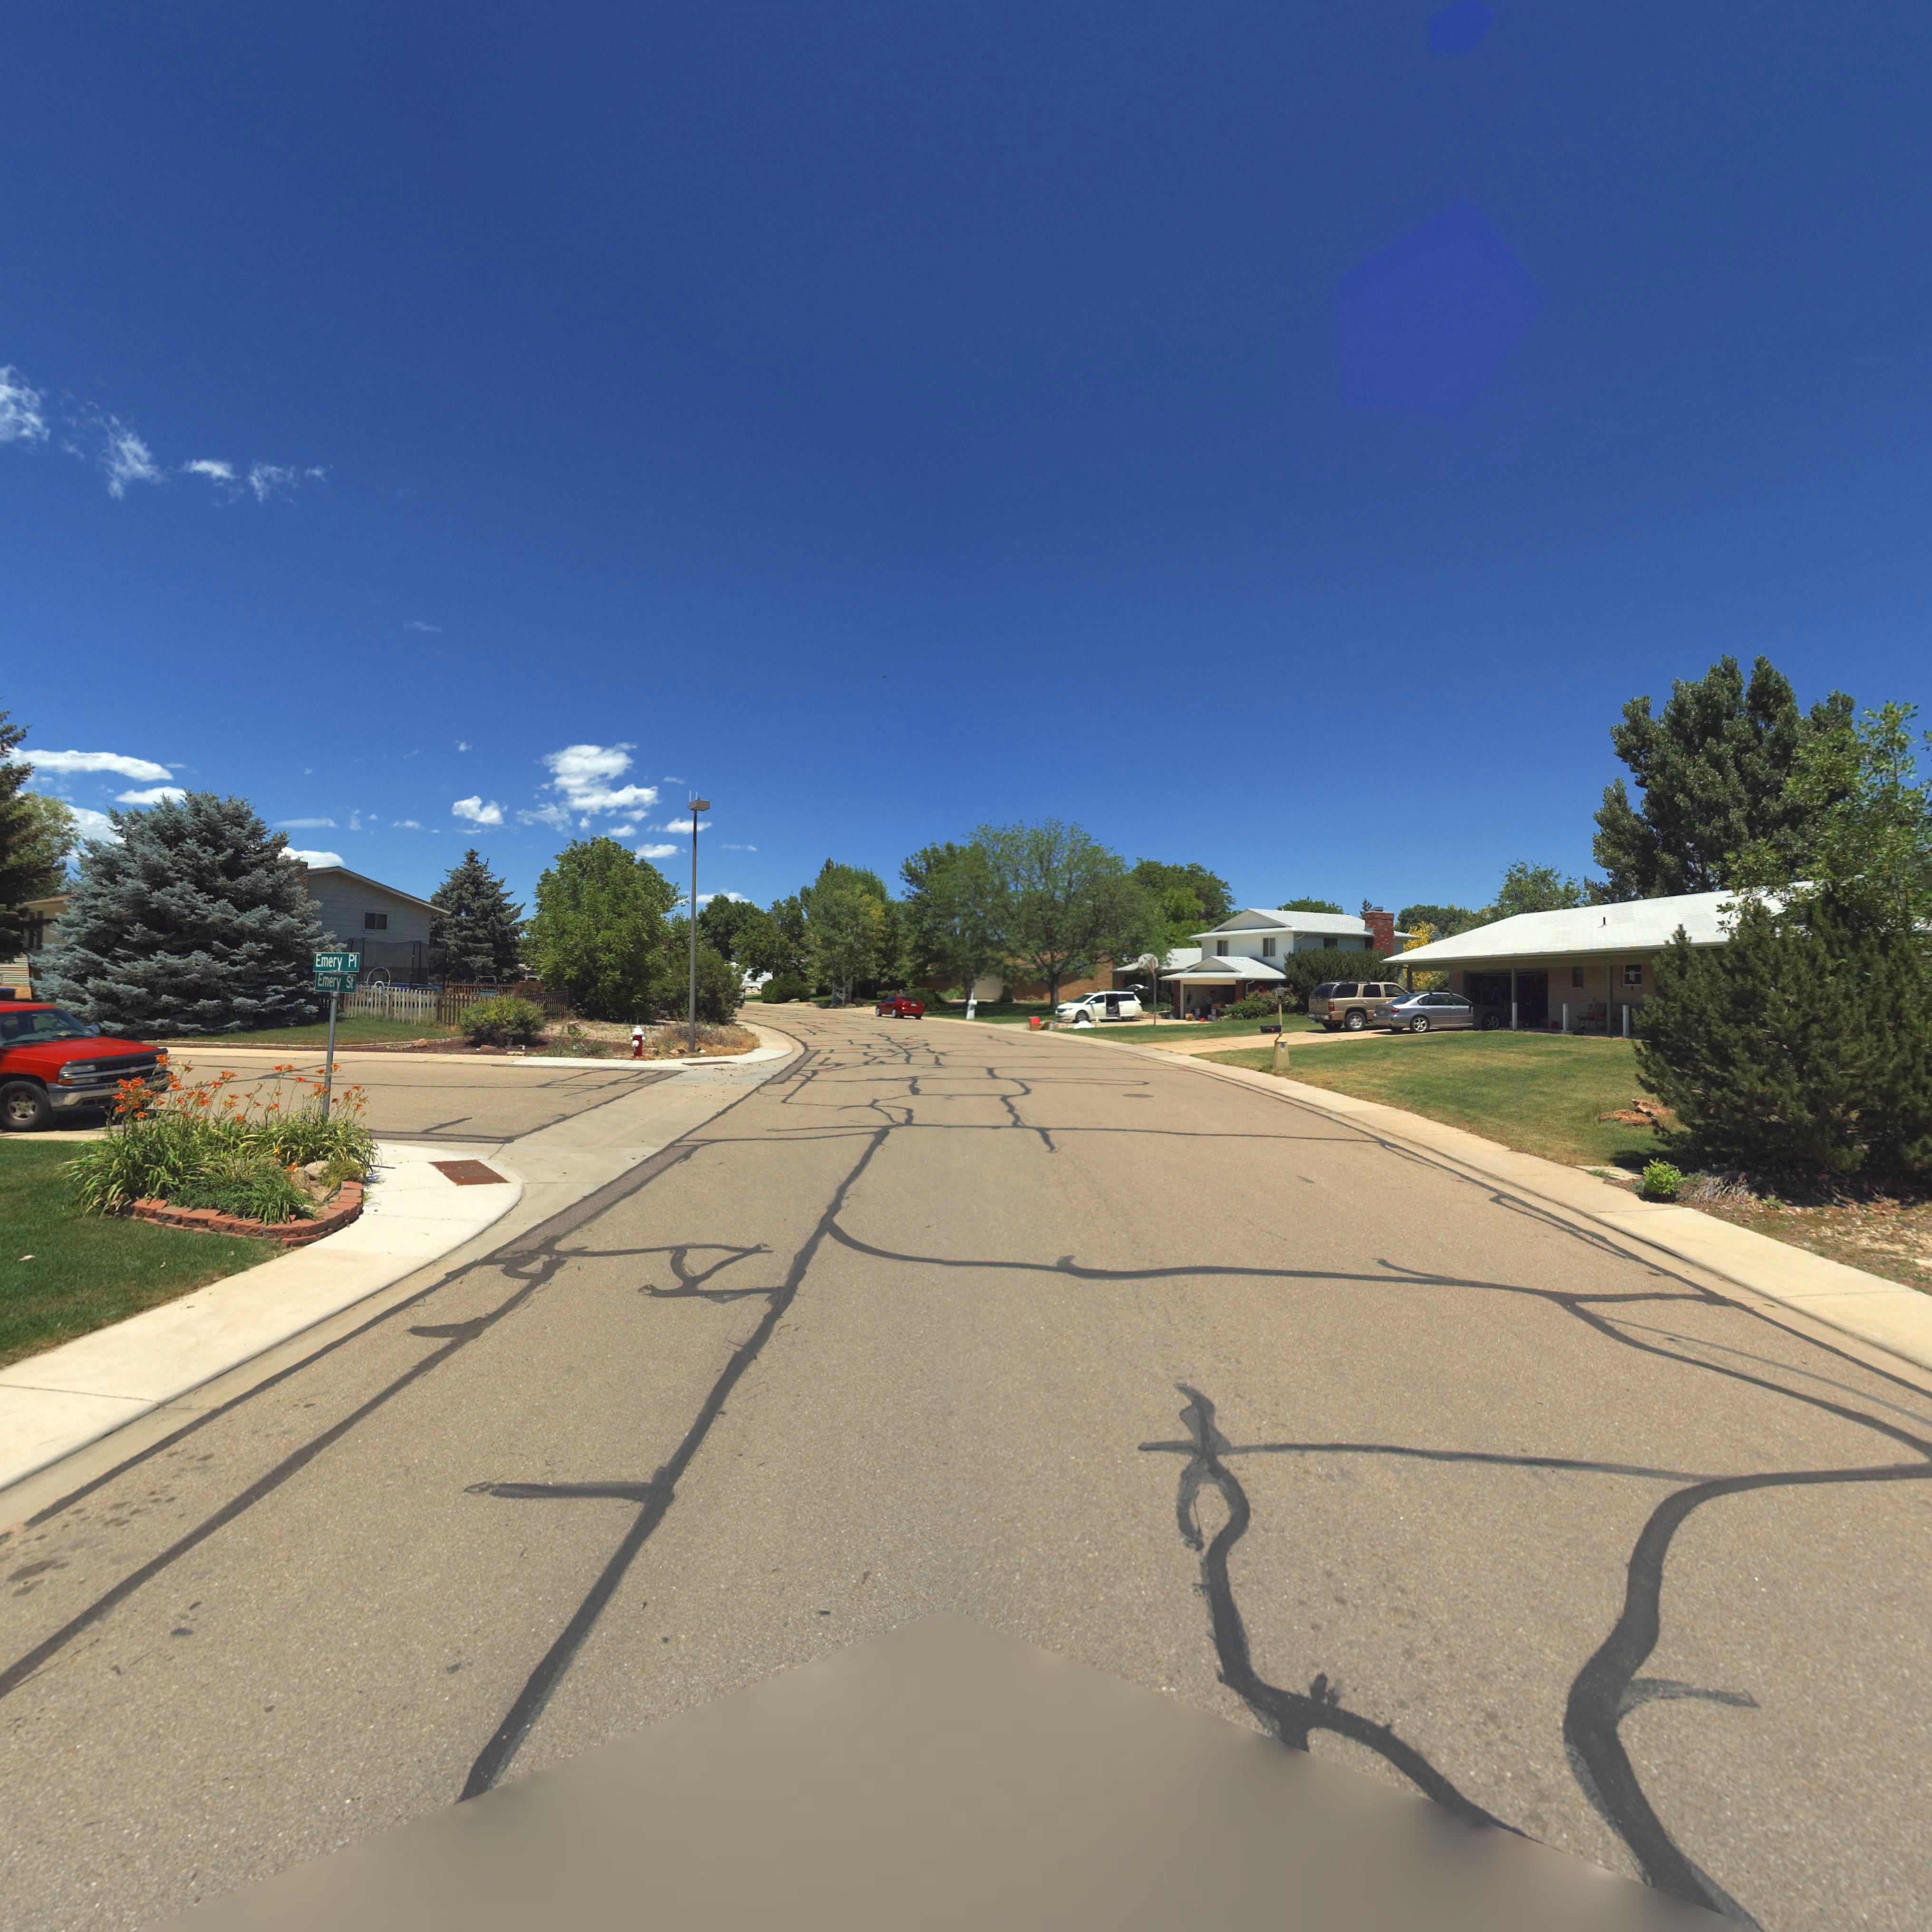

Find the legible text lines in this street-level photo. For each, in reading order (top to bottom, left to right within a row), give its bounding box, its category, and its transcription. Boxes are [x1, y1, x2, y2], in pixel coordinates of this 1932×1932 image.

[315, 953, 357, 971] StreetName: Emery Pl
[317, 972, 354, 991] BusinessName: Emery St